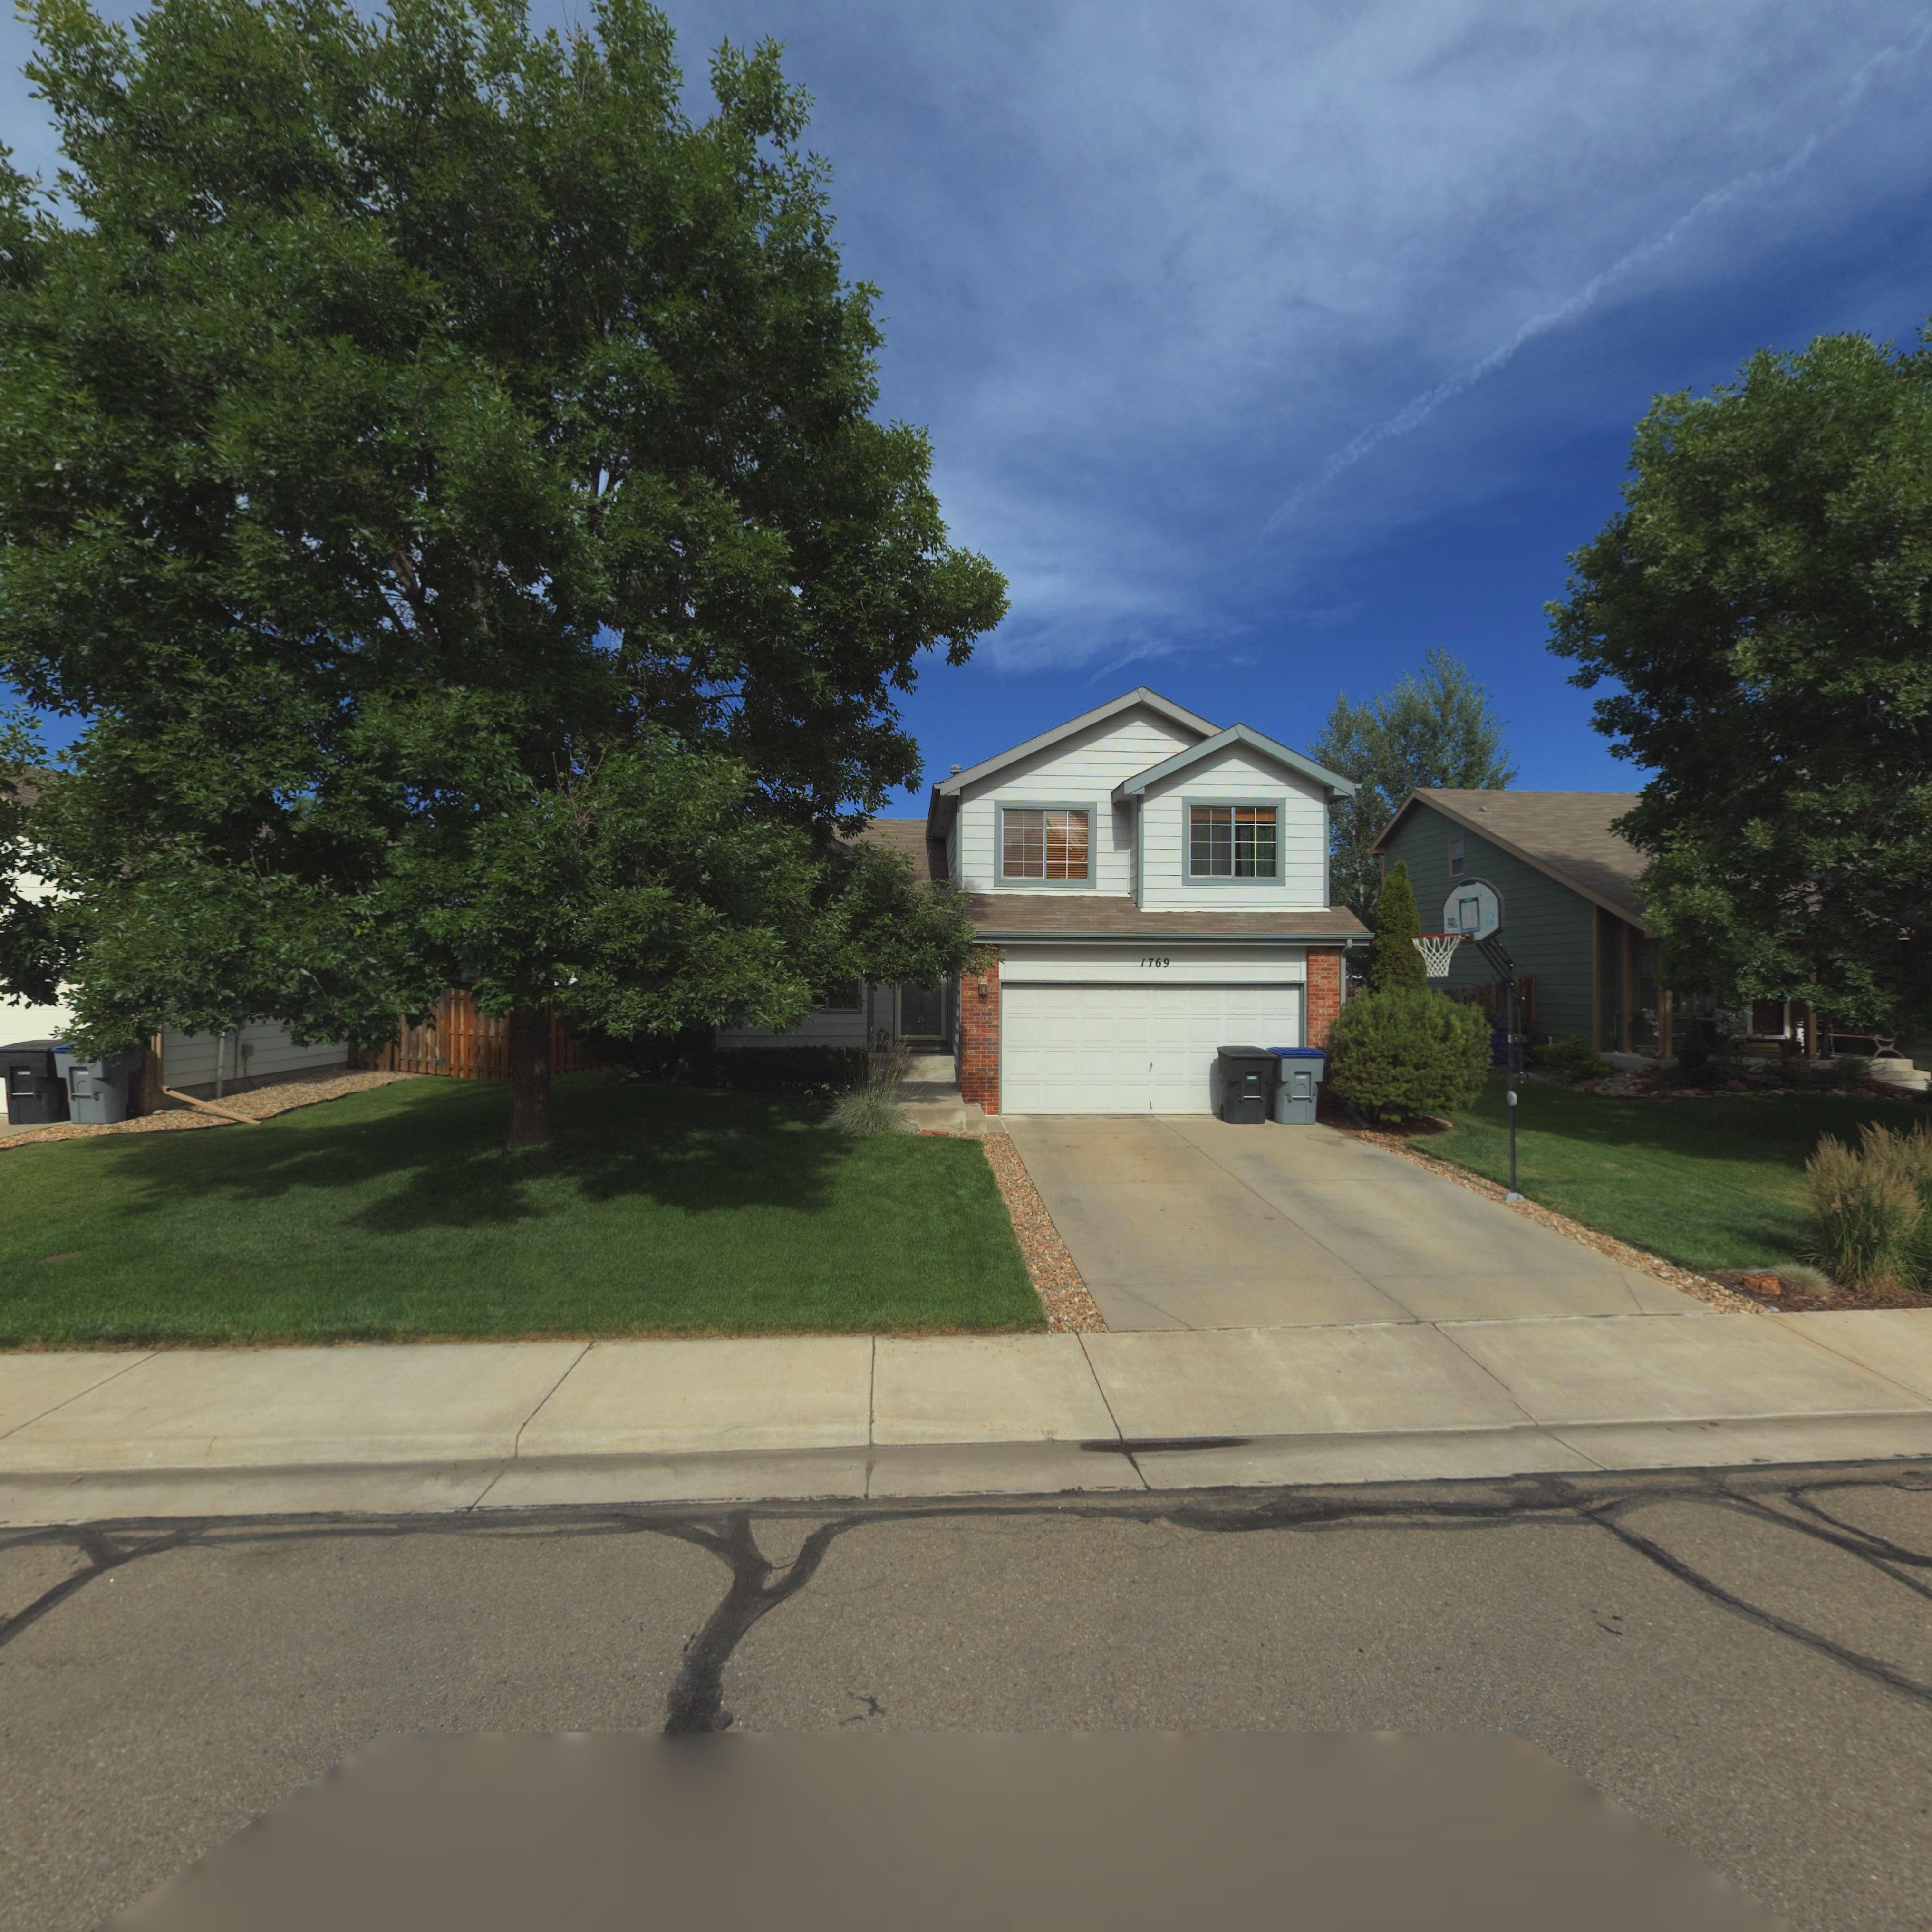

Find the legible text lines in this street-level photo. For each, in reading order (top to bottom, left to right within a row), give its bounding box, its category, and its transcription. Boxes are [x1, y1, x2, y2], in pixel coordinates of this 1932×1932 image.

[1140, 957, 1169, 968] StreetNumber: 1769